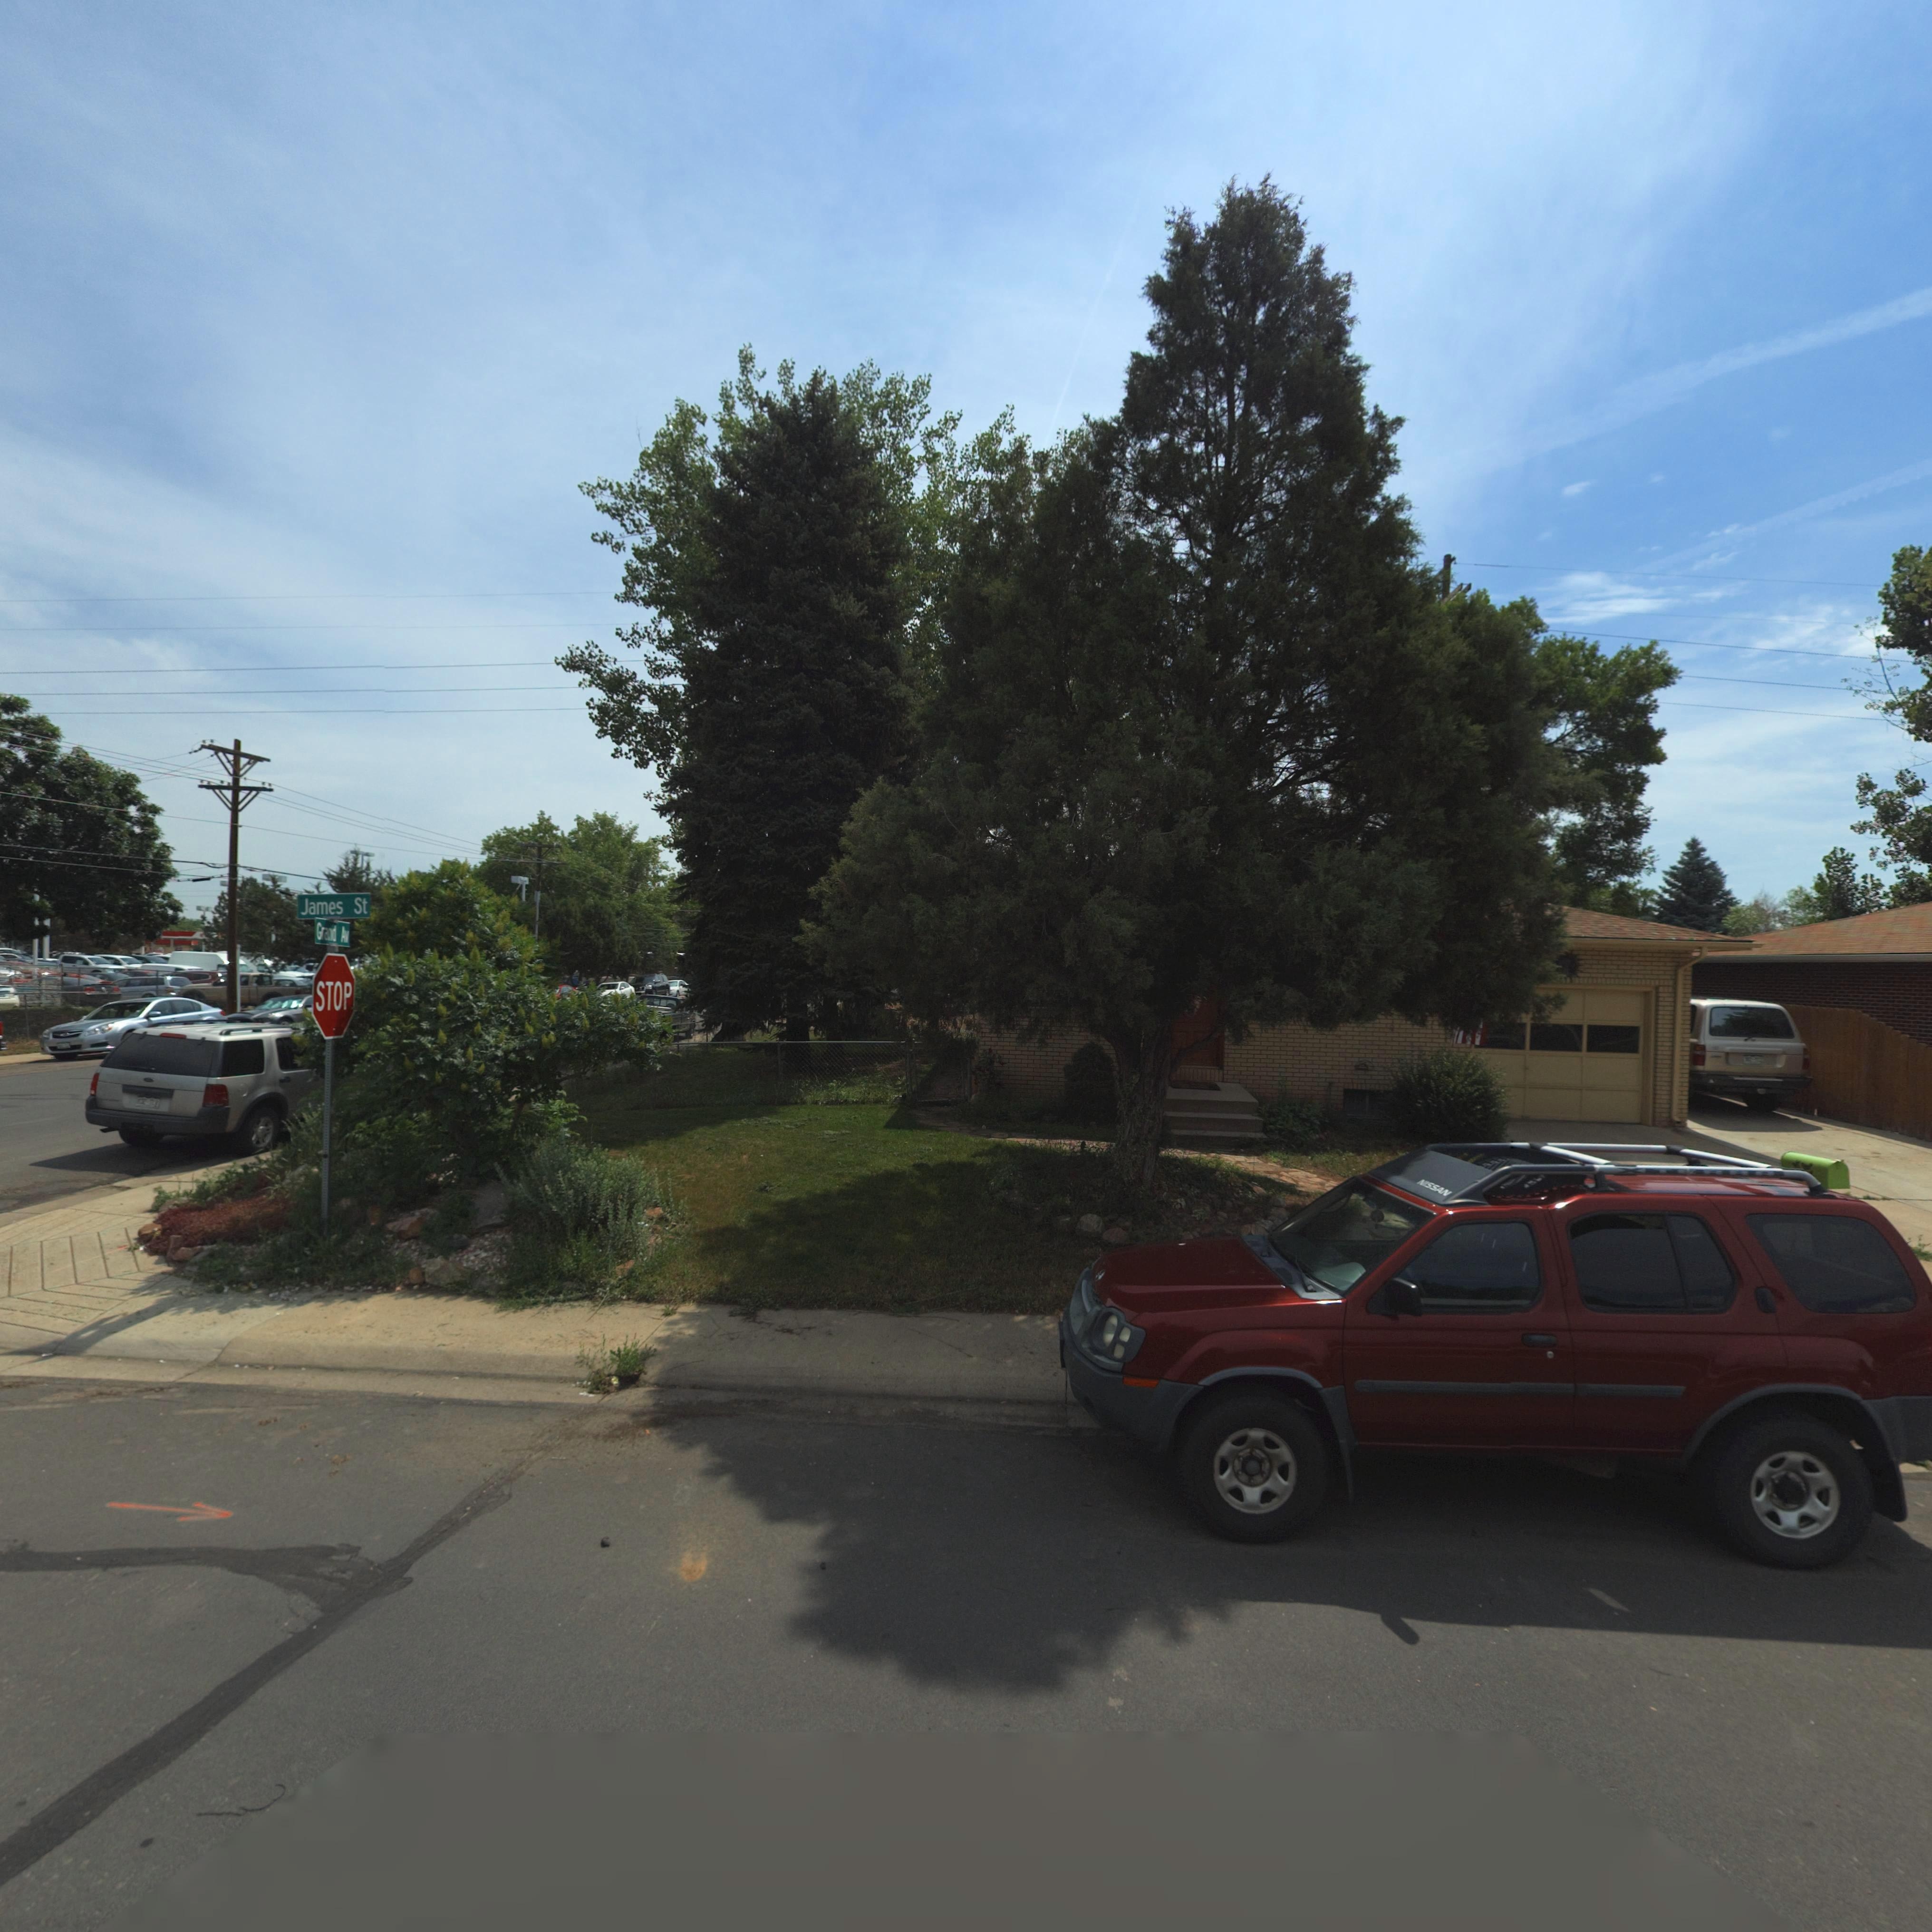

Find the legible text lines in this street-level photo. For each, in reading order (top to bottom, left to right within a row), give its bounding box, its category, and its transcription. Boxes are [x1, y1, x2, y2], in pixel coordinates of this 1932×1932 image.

[299, 896, 368, 916] StreetName: James St
[316, 921, 350, 943] StreetName: Grand Av